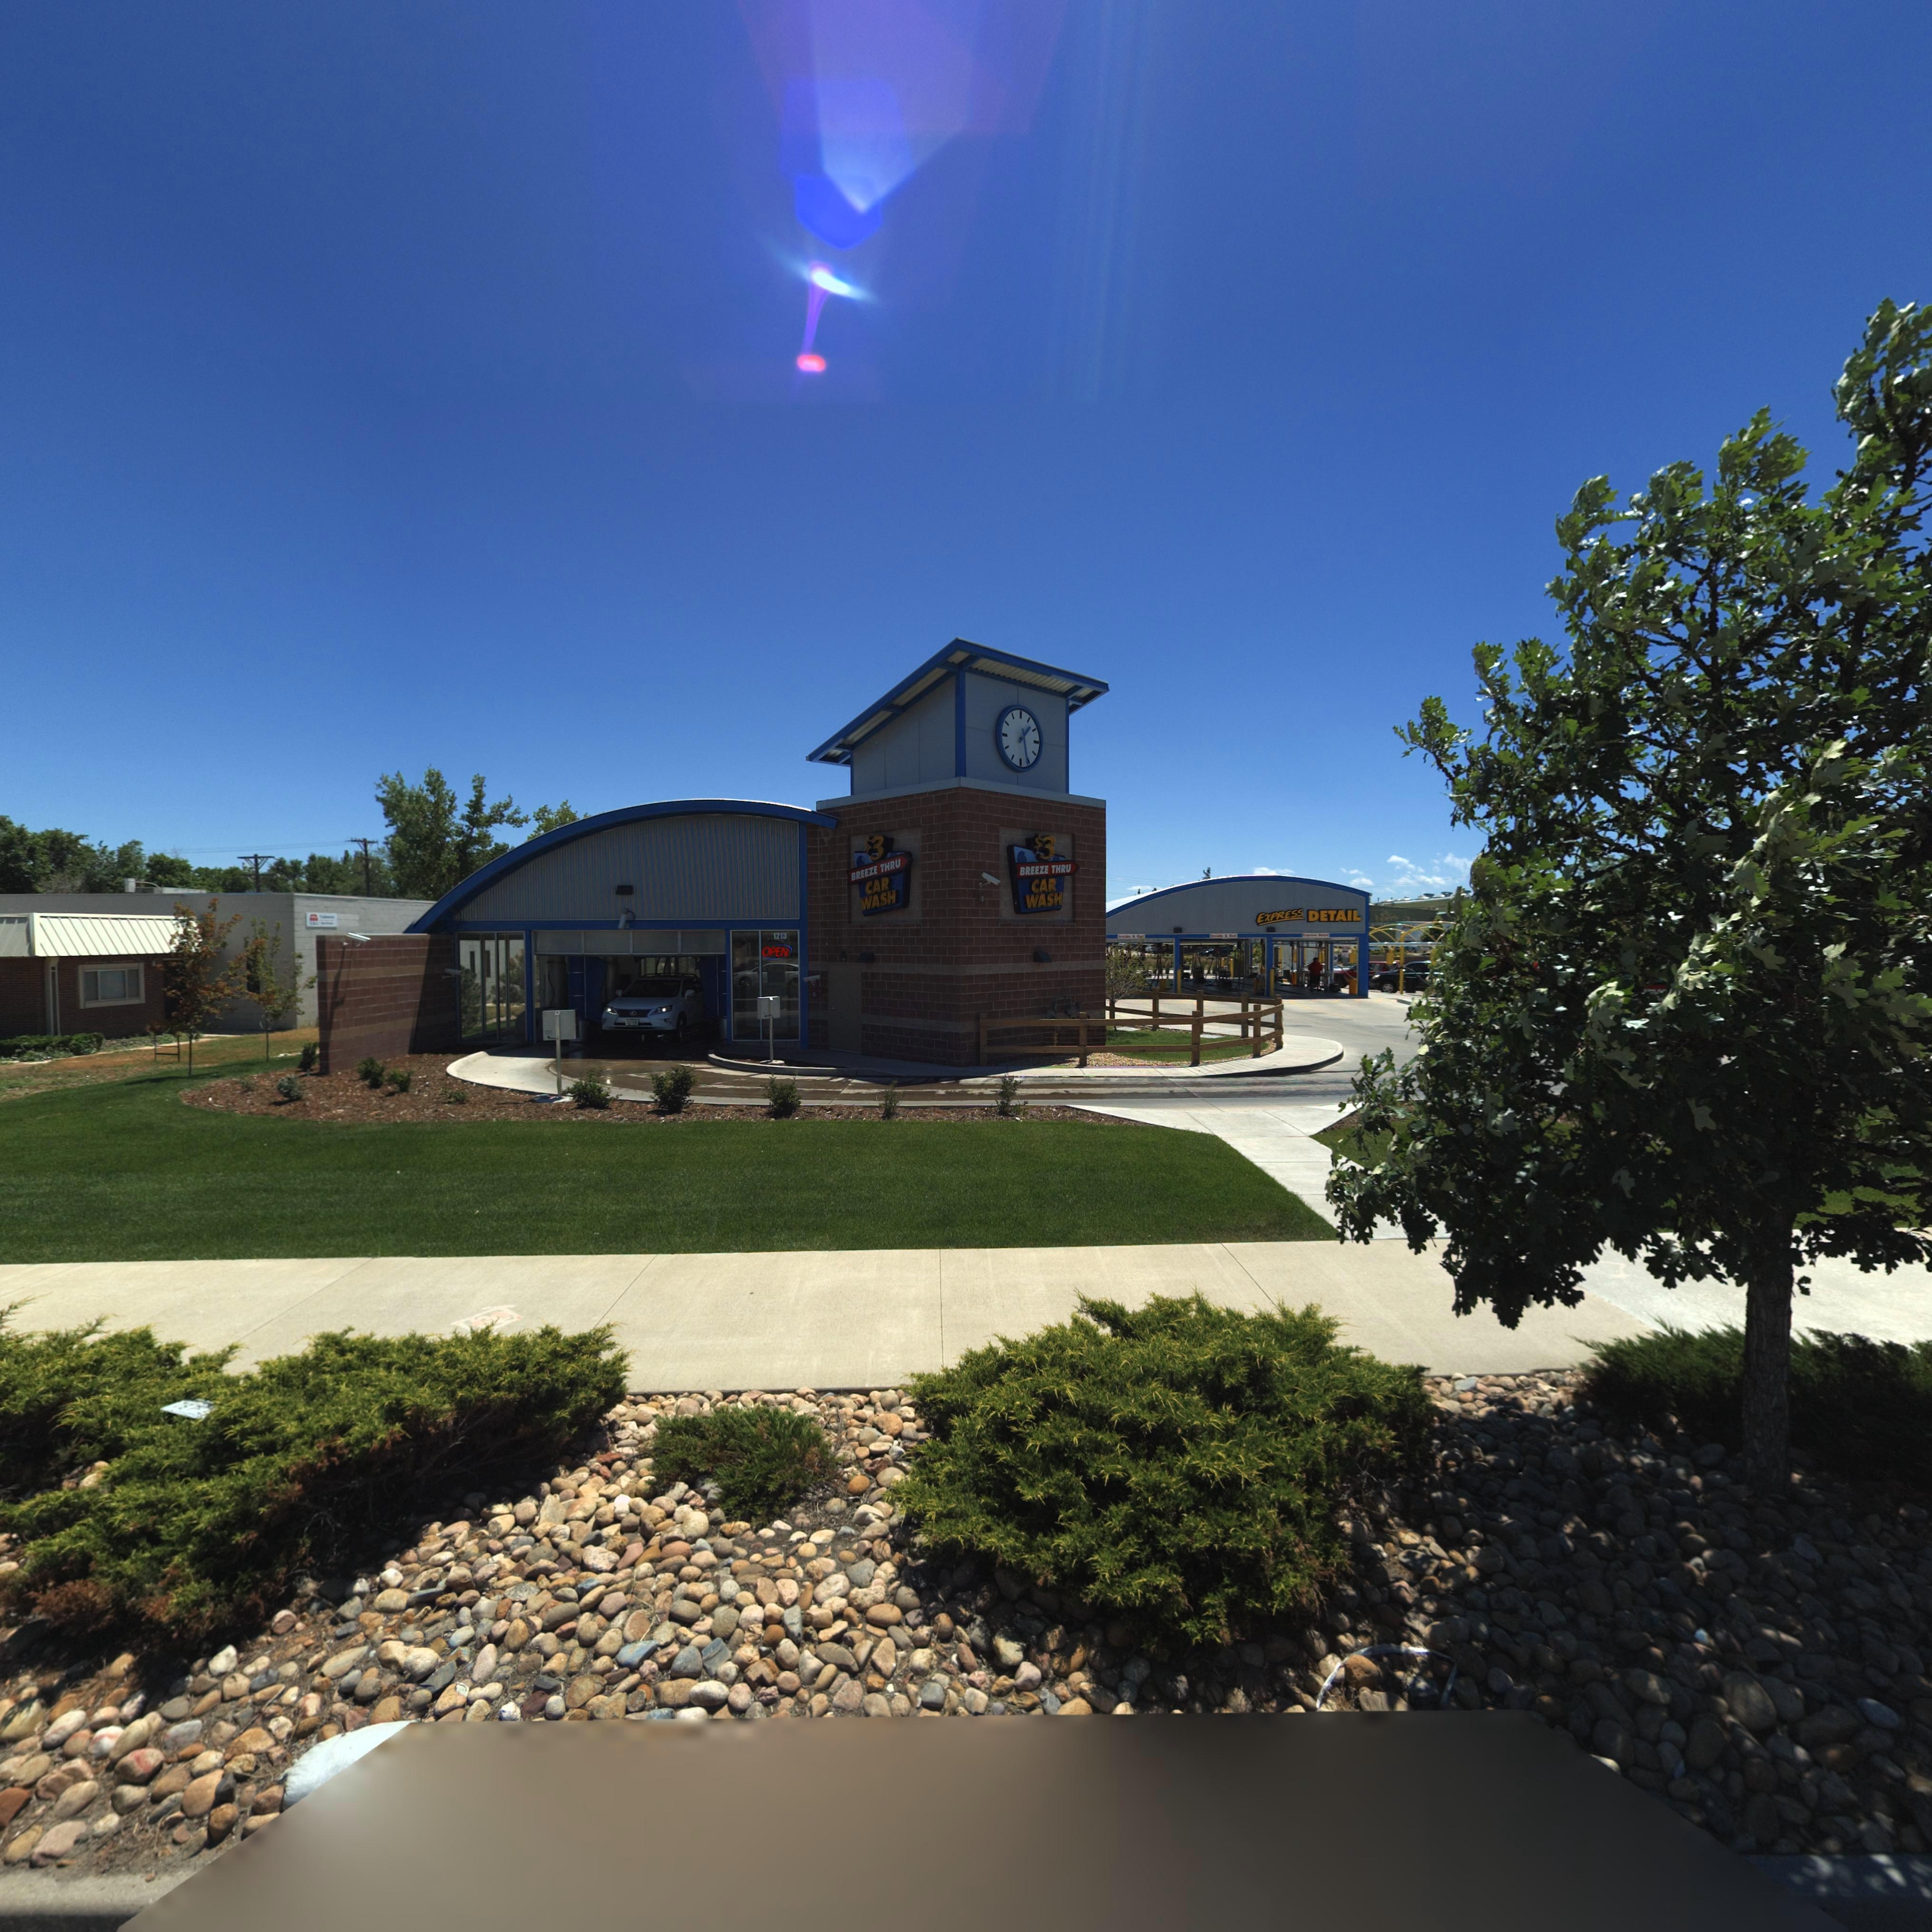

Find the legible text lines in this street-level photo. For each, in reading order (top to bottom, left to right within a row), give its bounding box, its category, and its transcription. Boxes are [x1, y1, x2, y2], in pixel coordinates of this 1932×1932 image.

[850, 857, 901, 881] BusinessName: BREEZE THRU
[1019, 864, 1071, 875] BusinessName: BREEZE THRU
[864, 876, 890, 895] BusinessName: CAR
[1031, 878, 1056, 893] BusinessName: CAR
[860, 889, 896, 911] BusinessName: WASH
[1024, 891, 1063, 909] BusinessName: WASH
[1256, 908, 1304, 923] BusinessName: EXPRESS
[1307, 909, 1361, 922] BusinessName: DETAIL
[772, 932, 787, 939] StreetNumber: 1213